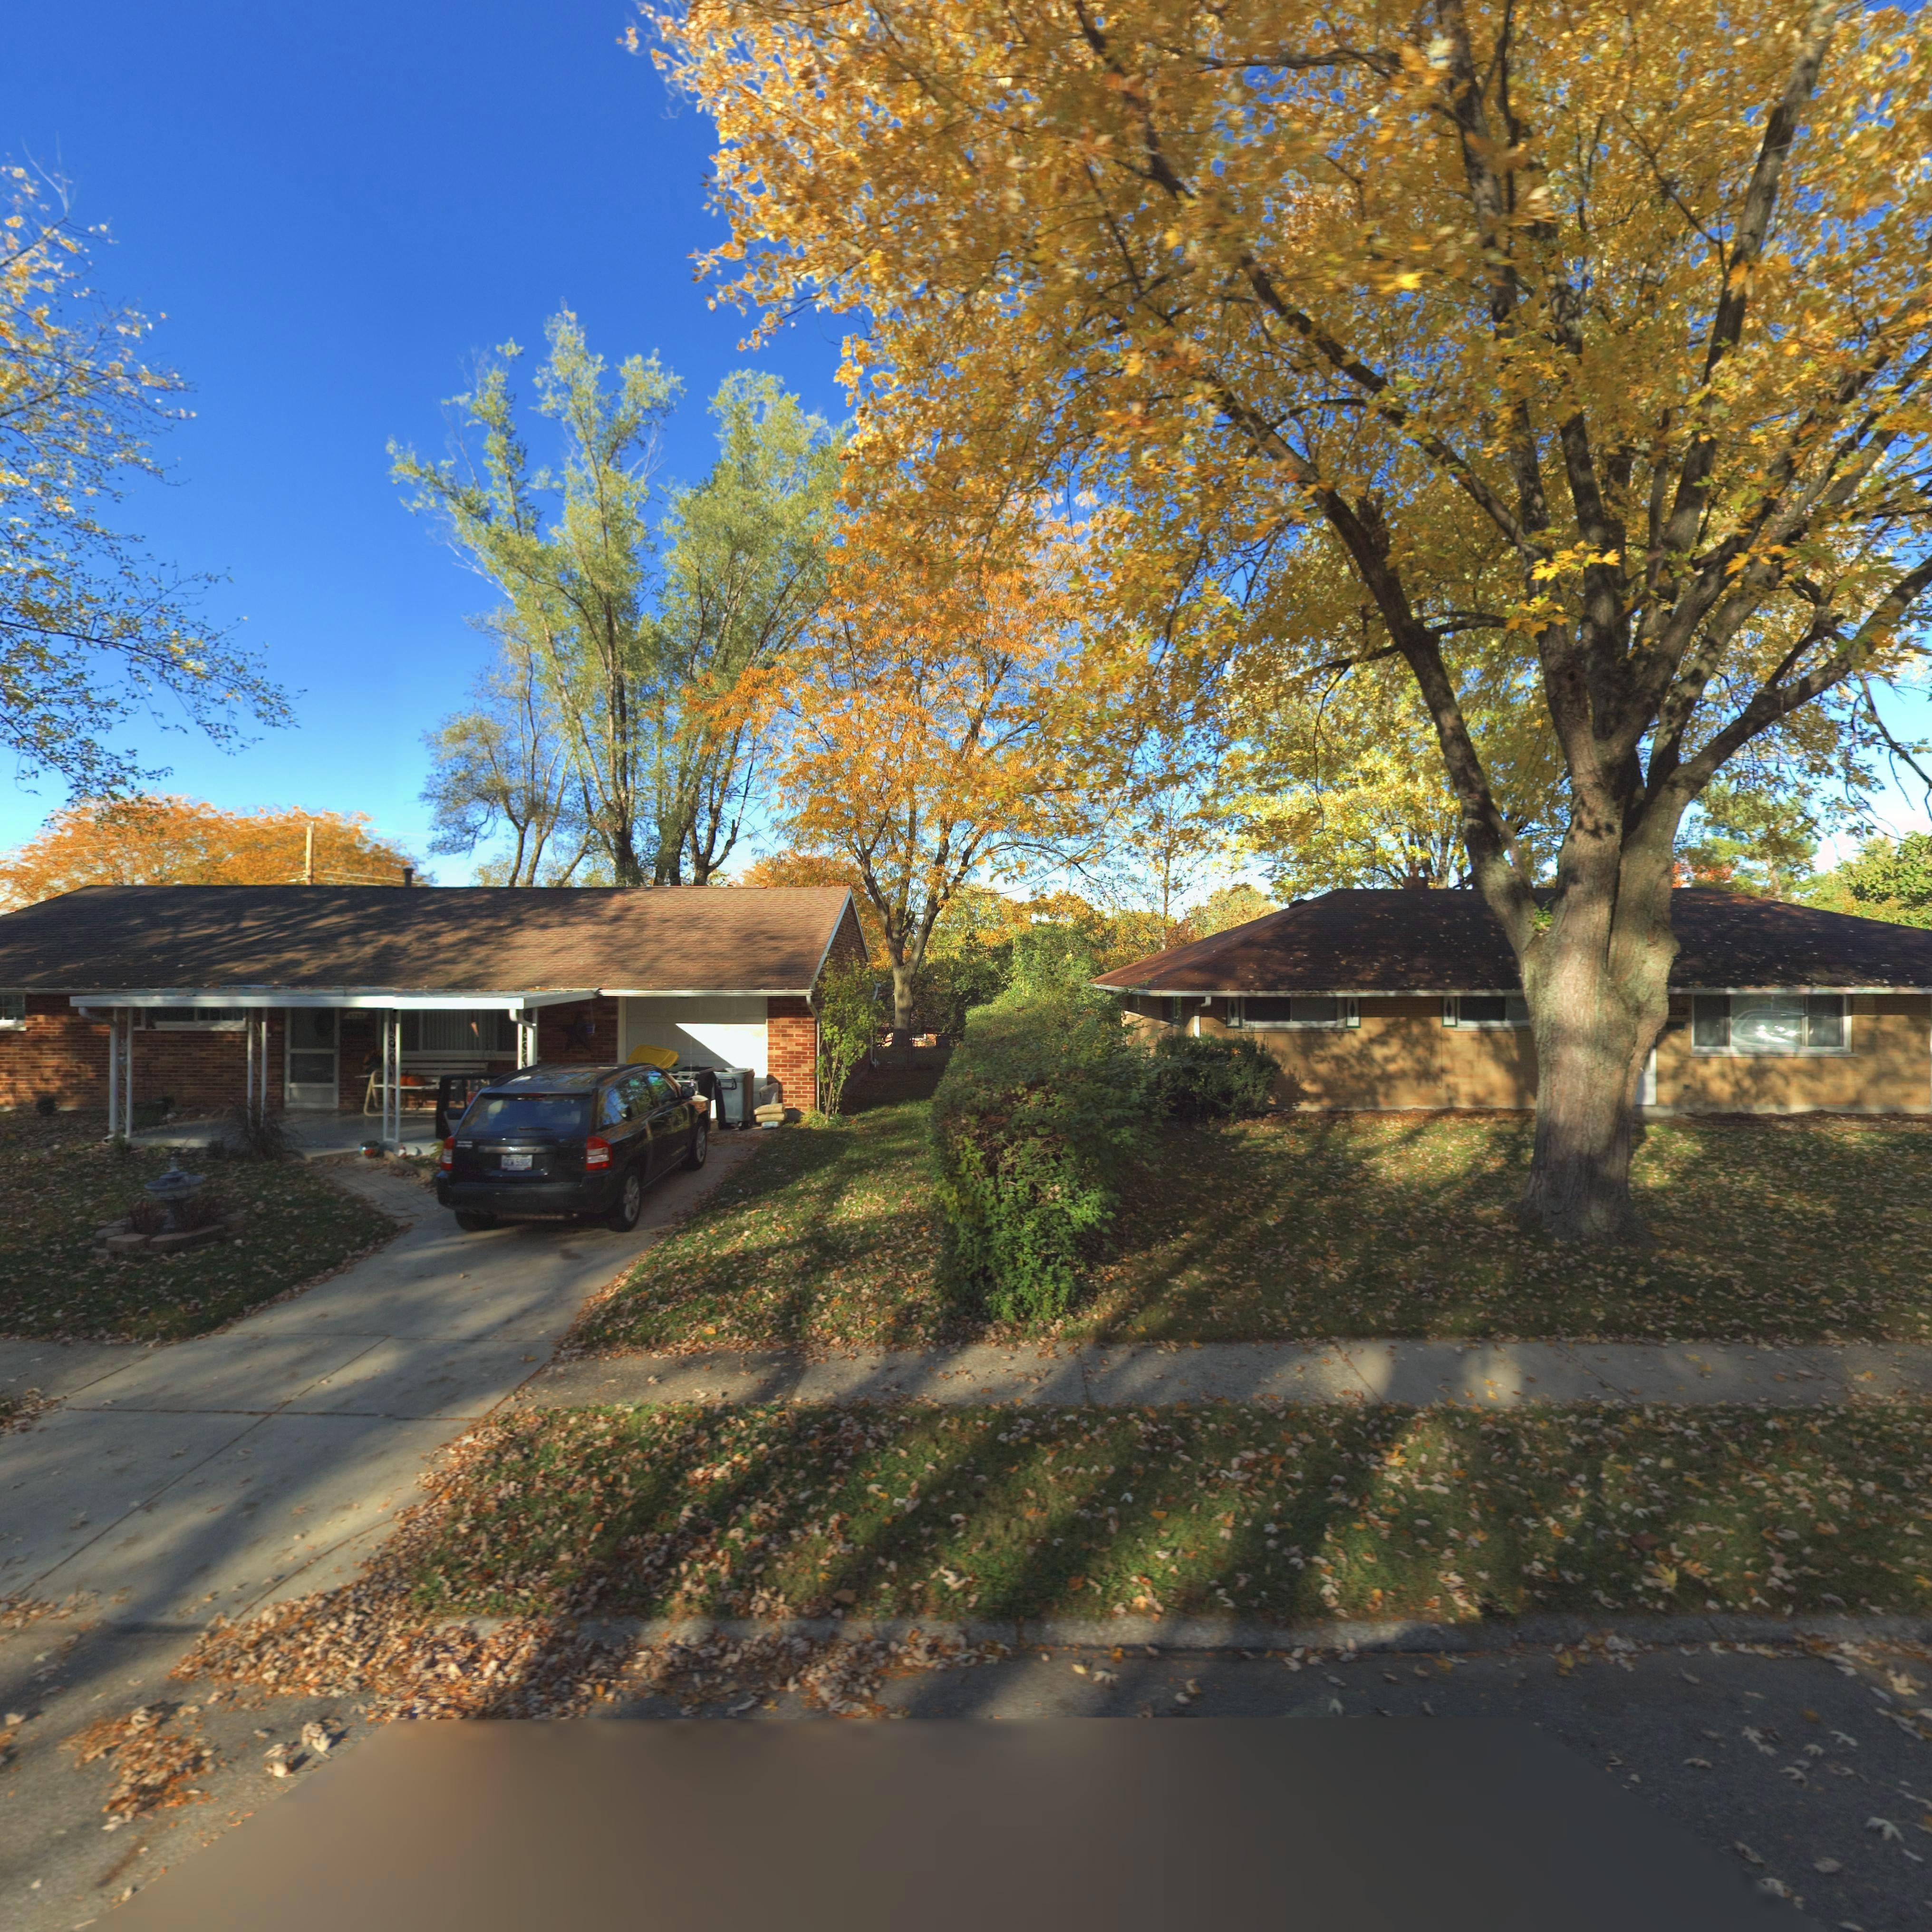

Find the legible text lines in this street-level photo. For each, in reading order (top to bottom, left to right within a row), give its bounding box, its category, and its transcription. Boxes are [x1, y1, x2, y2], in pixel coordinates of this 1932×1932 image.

[1669, 1008, 1684, 1014] StreetNumber: 4745
[348, 1013, 364, 1019] StreetNumber: 4755